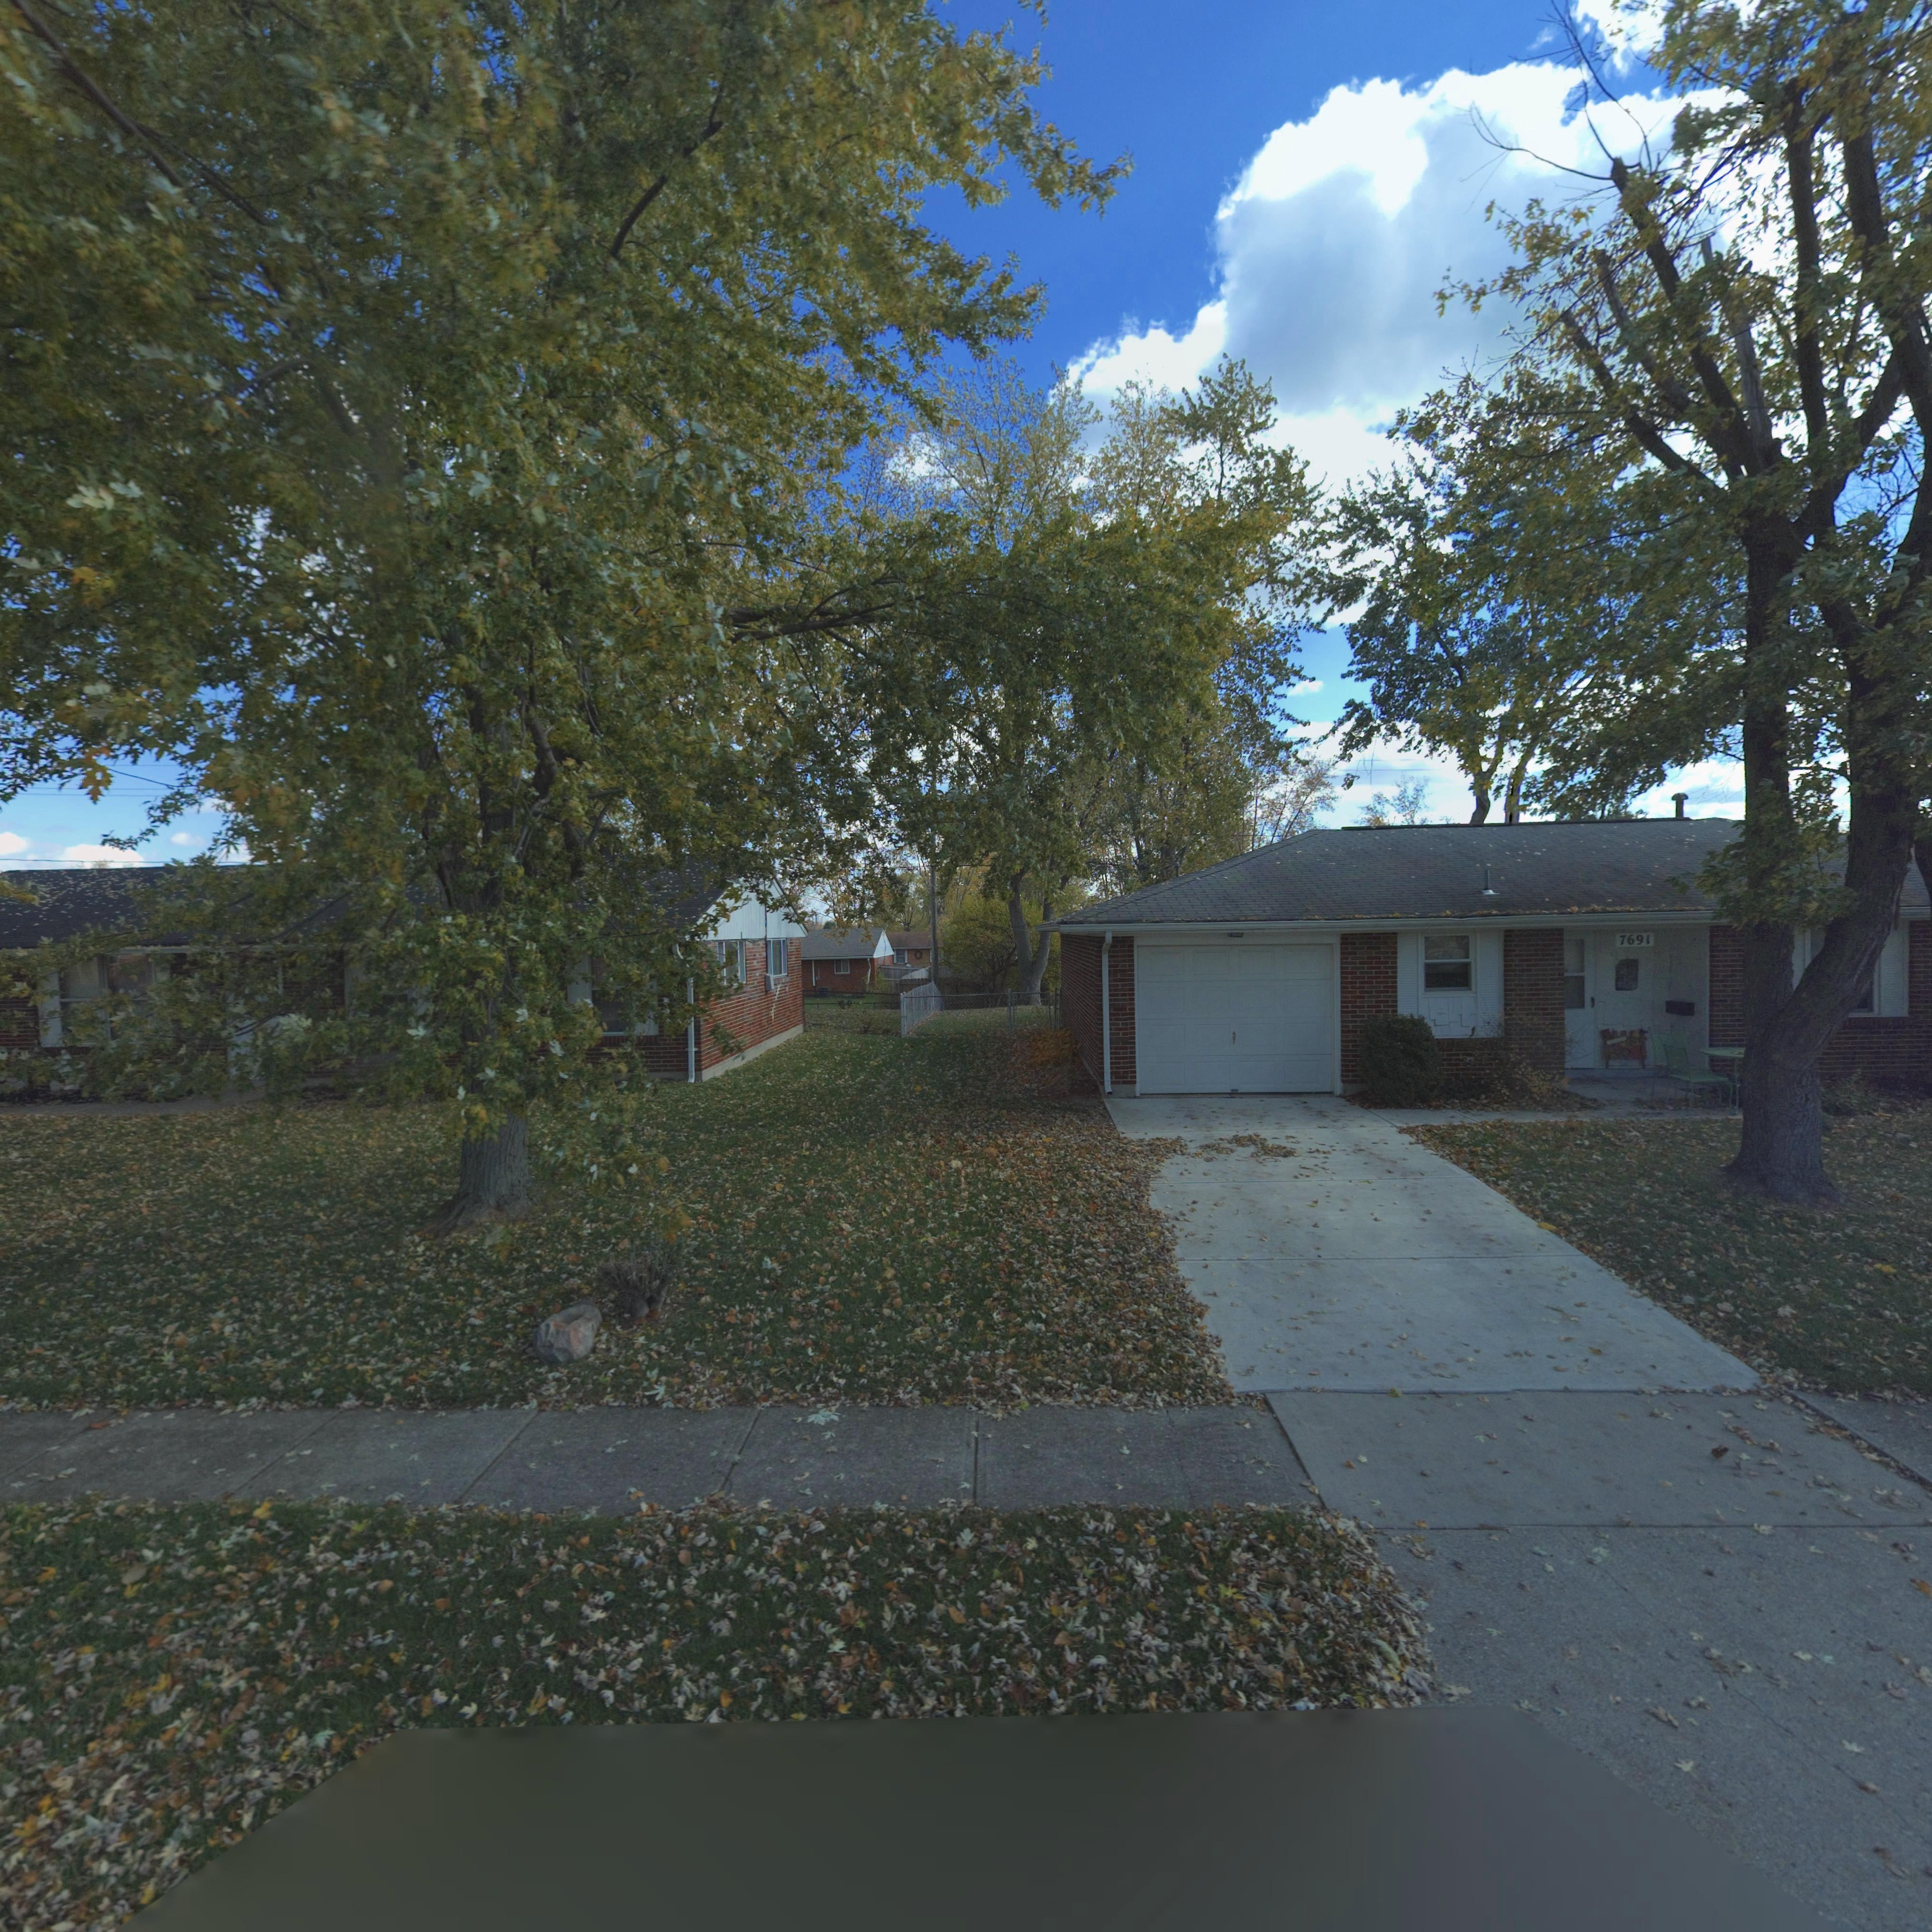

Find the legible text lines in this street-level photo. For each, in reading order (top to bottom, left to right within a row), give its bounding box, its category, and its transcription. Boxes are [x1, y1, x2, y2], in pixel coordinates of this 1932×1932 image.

[1619, 934, 1651, 946] StreetNumber: 7691